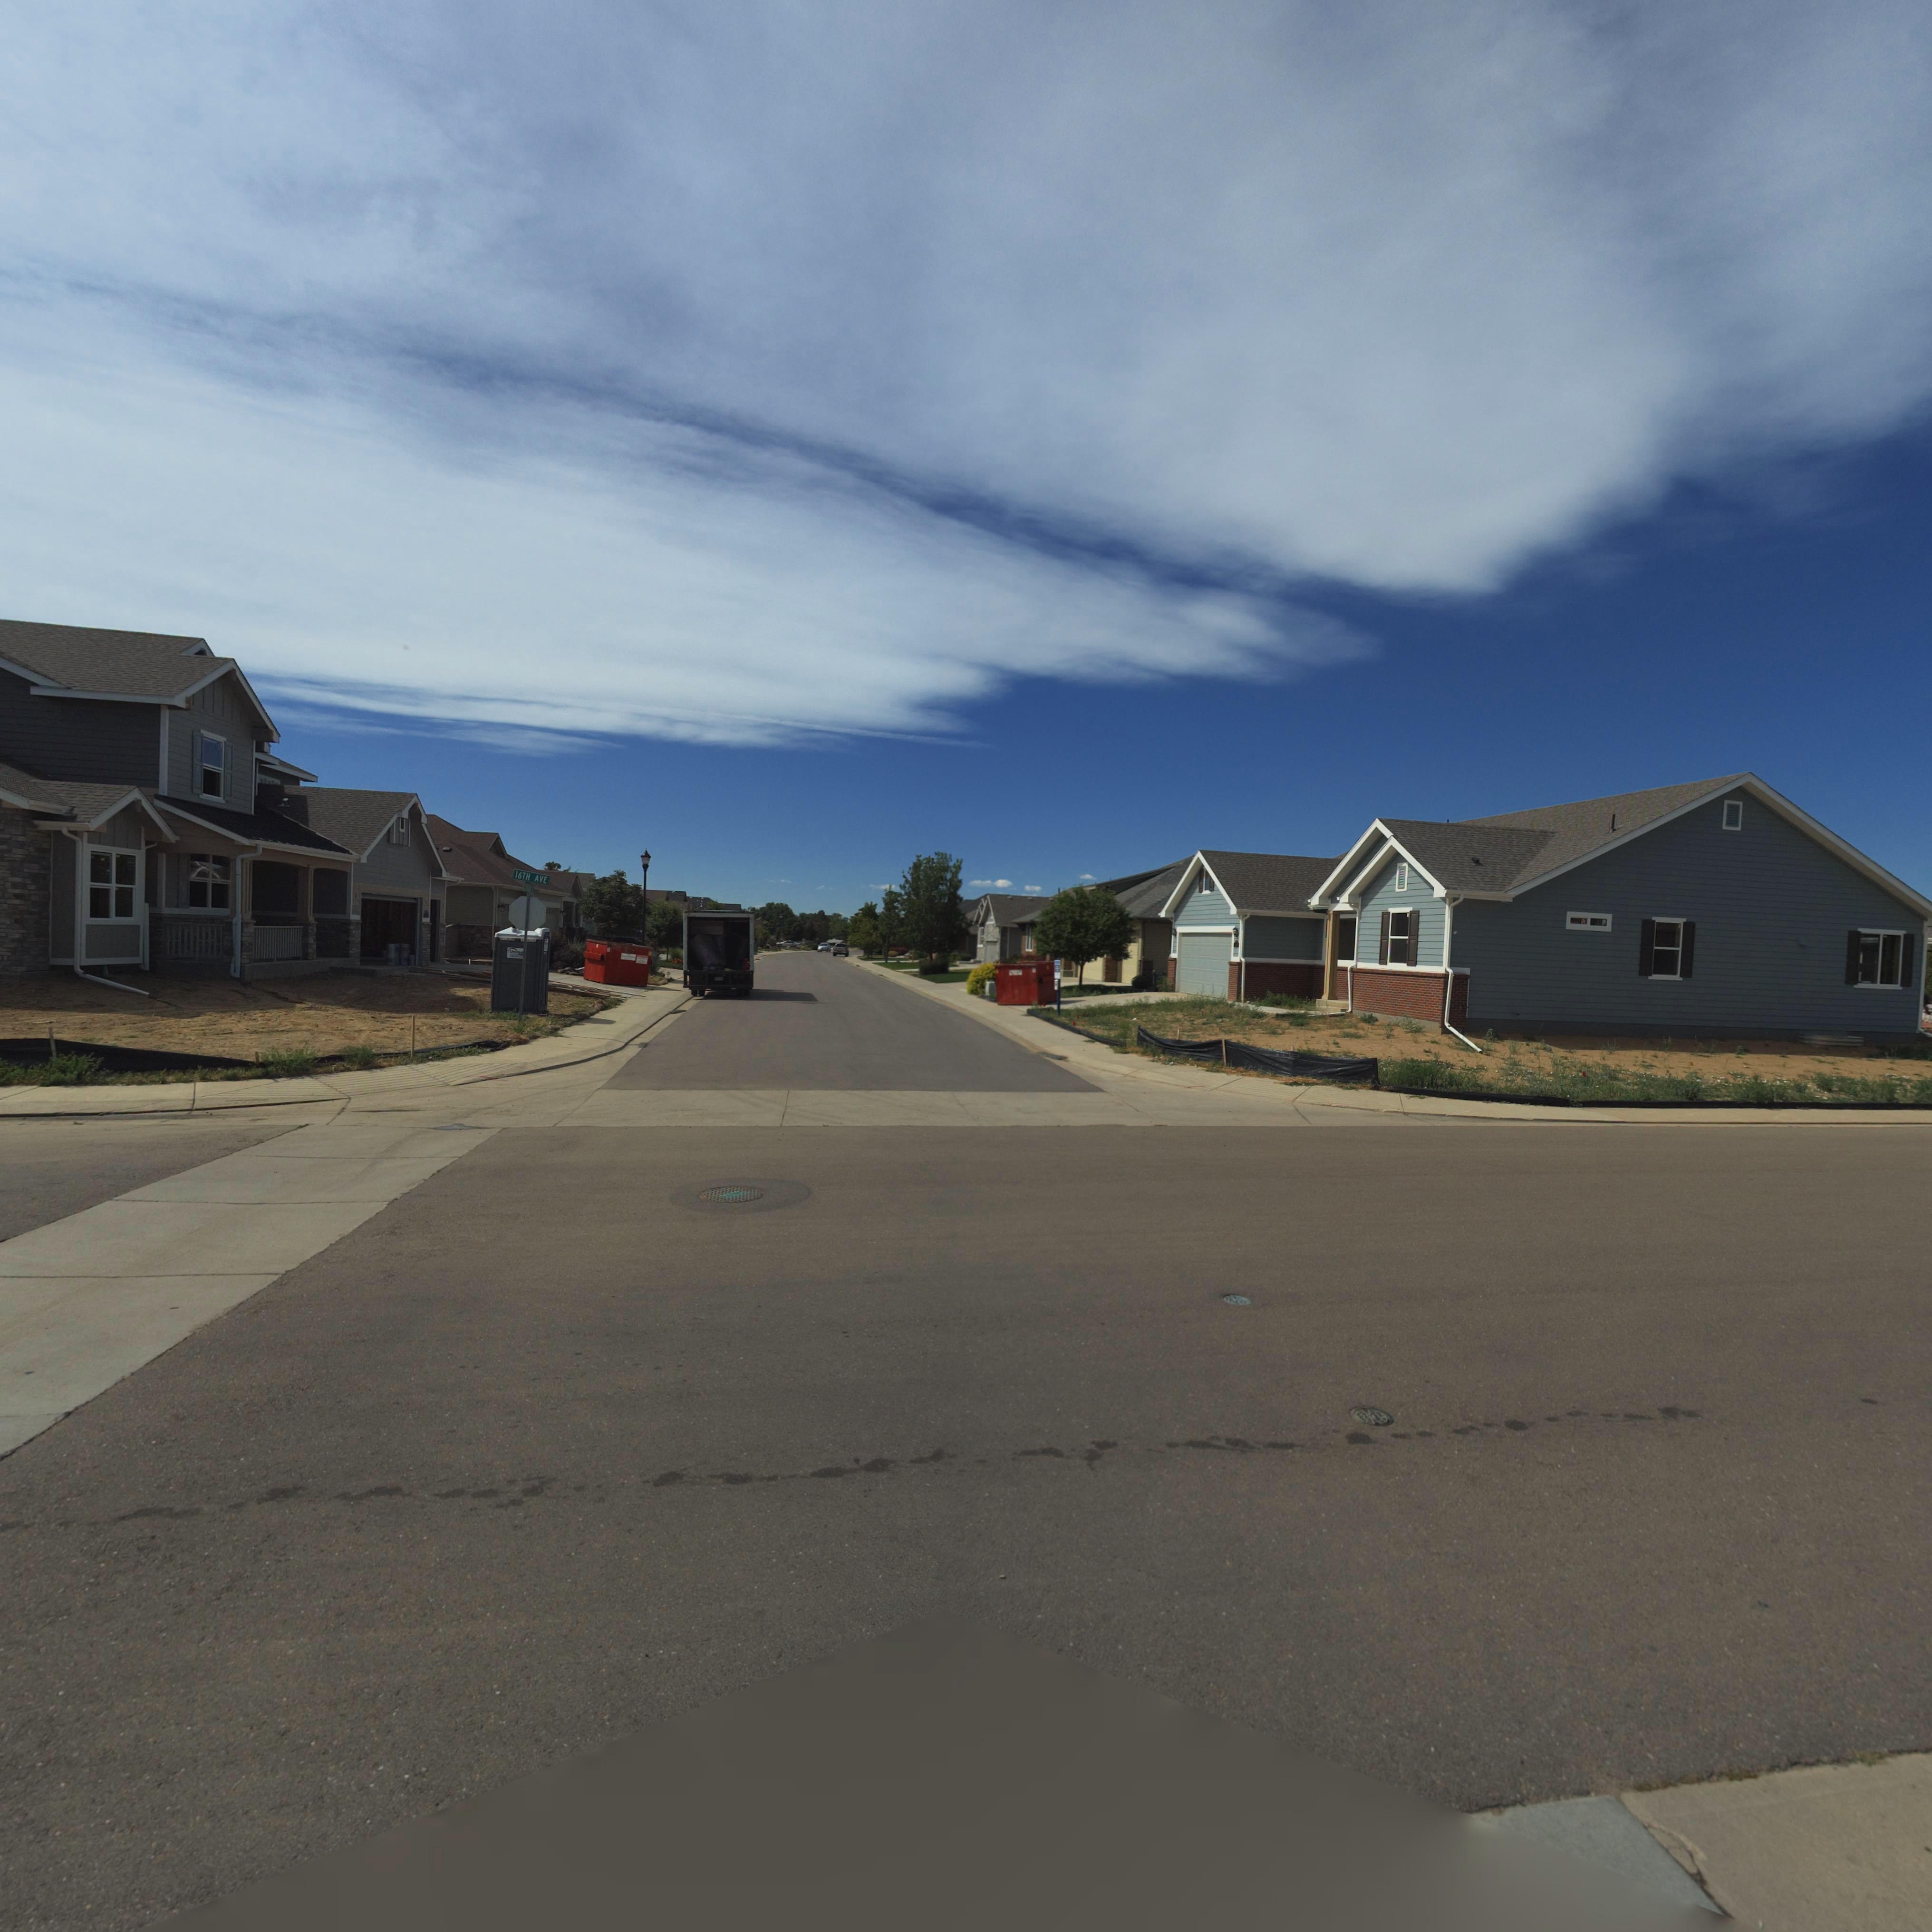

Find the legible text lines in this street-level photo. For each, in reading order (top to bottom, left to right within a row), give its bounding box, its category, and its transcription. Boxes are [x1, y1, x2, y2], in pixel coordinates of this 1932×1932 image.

[515, 871, 547, 883] StreetName: 16TH AVE